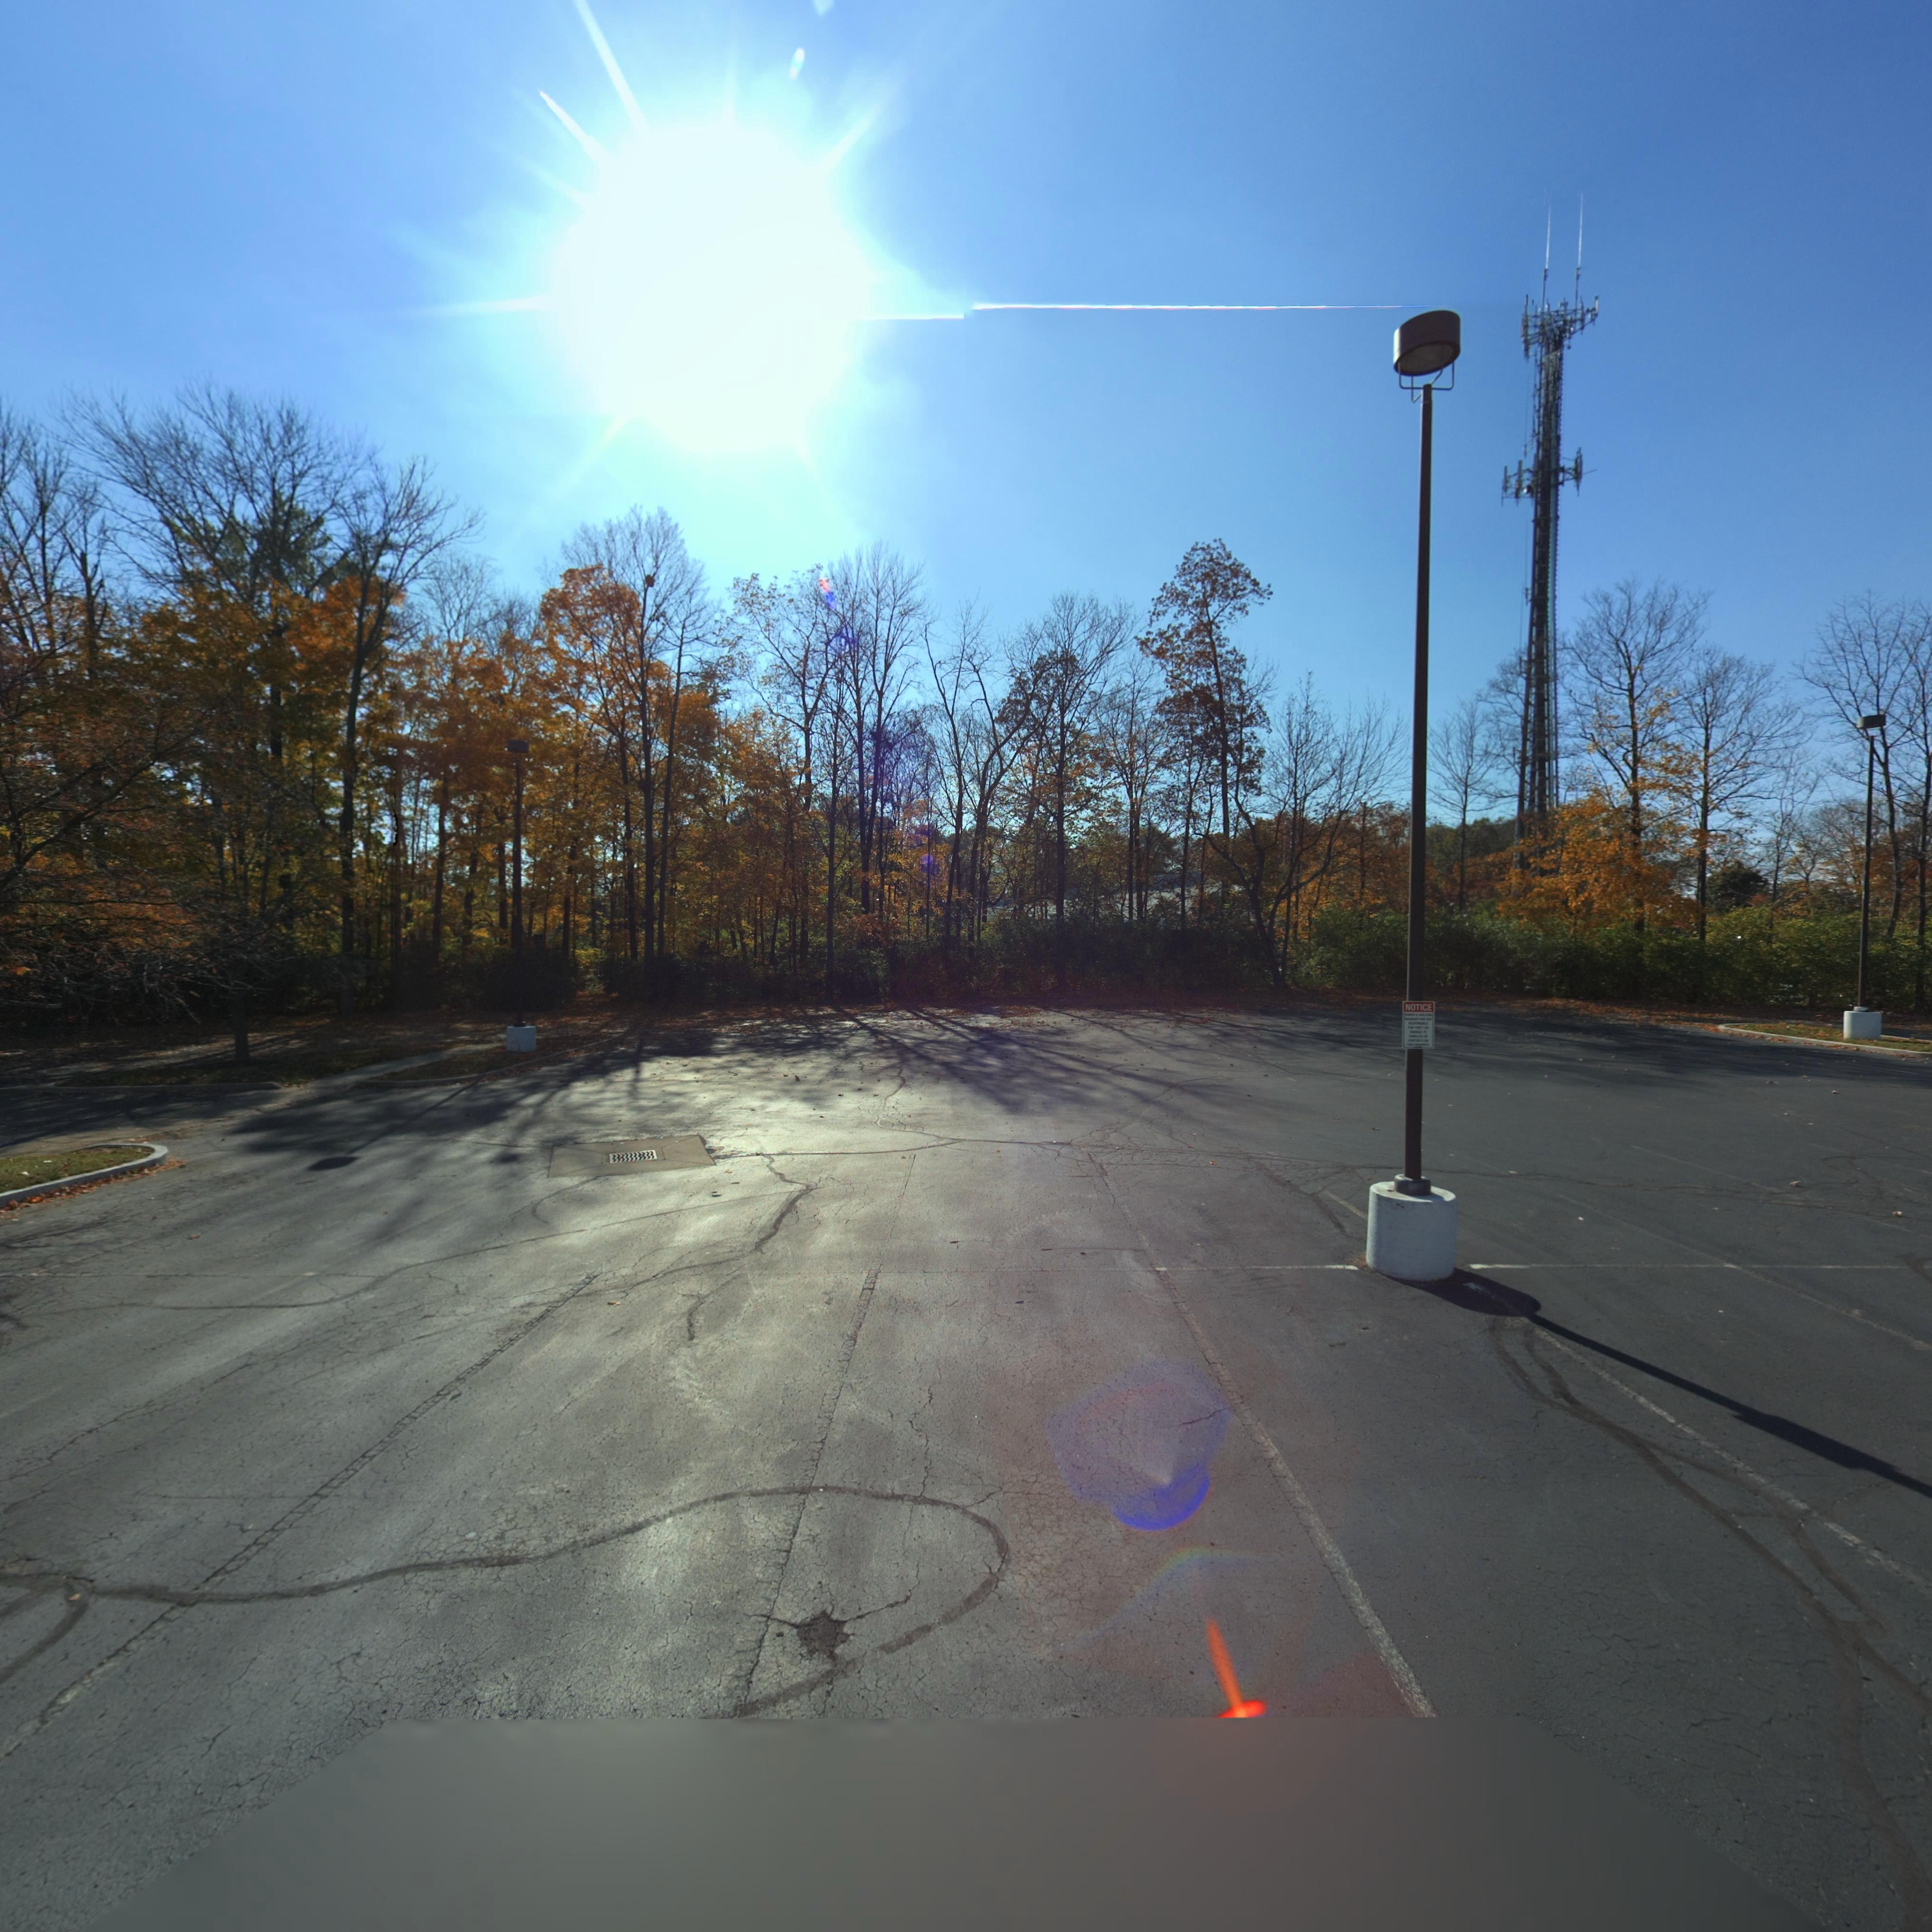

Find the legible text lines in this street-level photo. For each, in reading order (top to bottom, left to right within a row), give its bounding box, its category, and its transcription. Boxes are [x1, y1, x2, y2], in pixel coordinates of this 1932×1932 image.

[1405, 1003, 1432, 1011] None: NOTICE